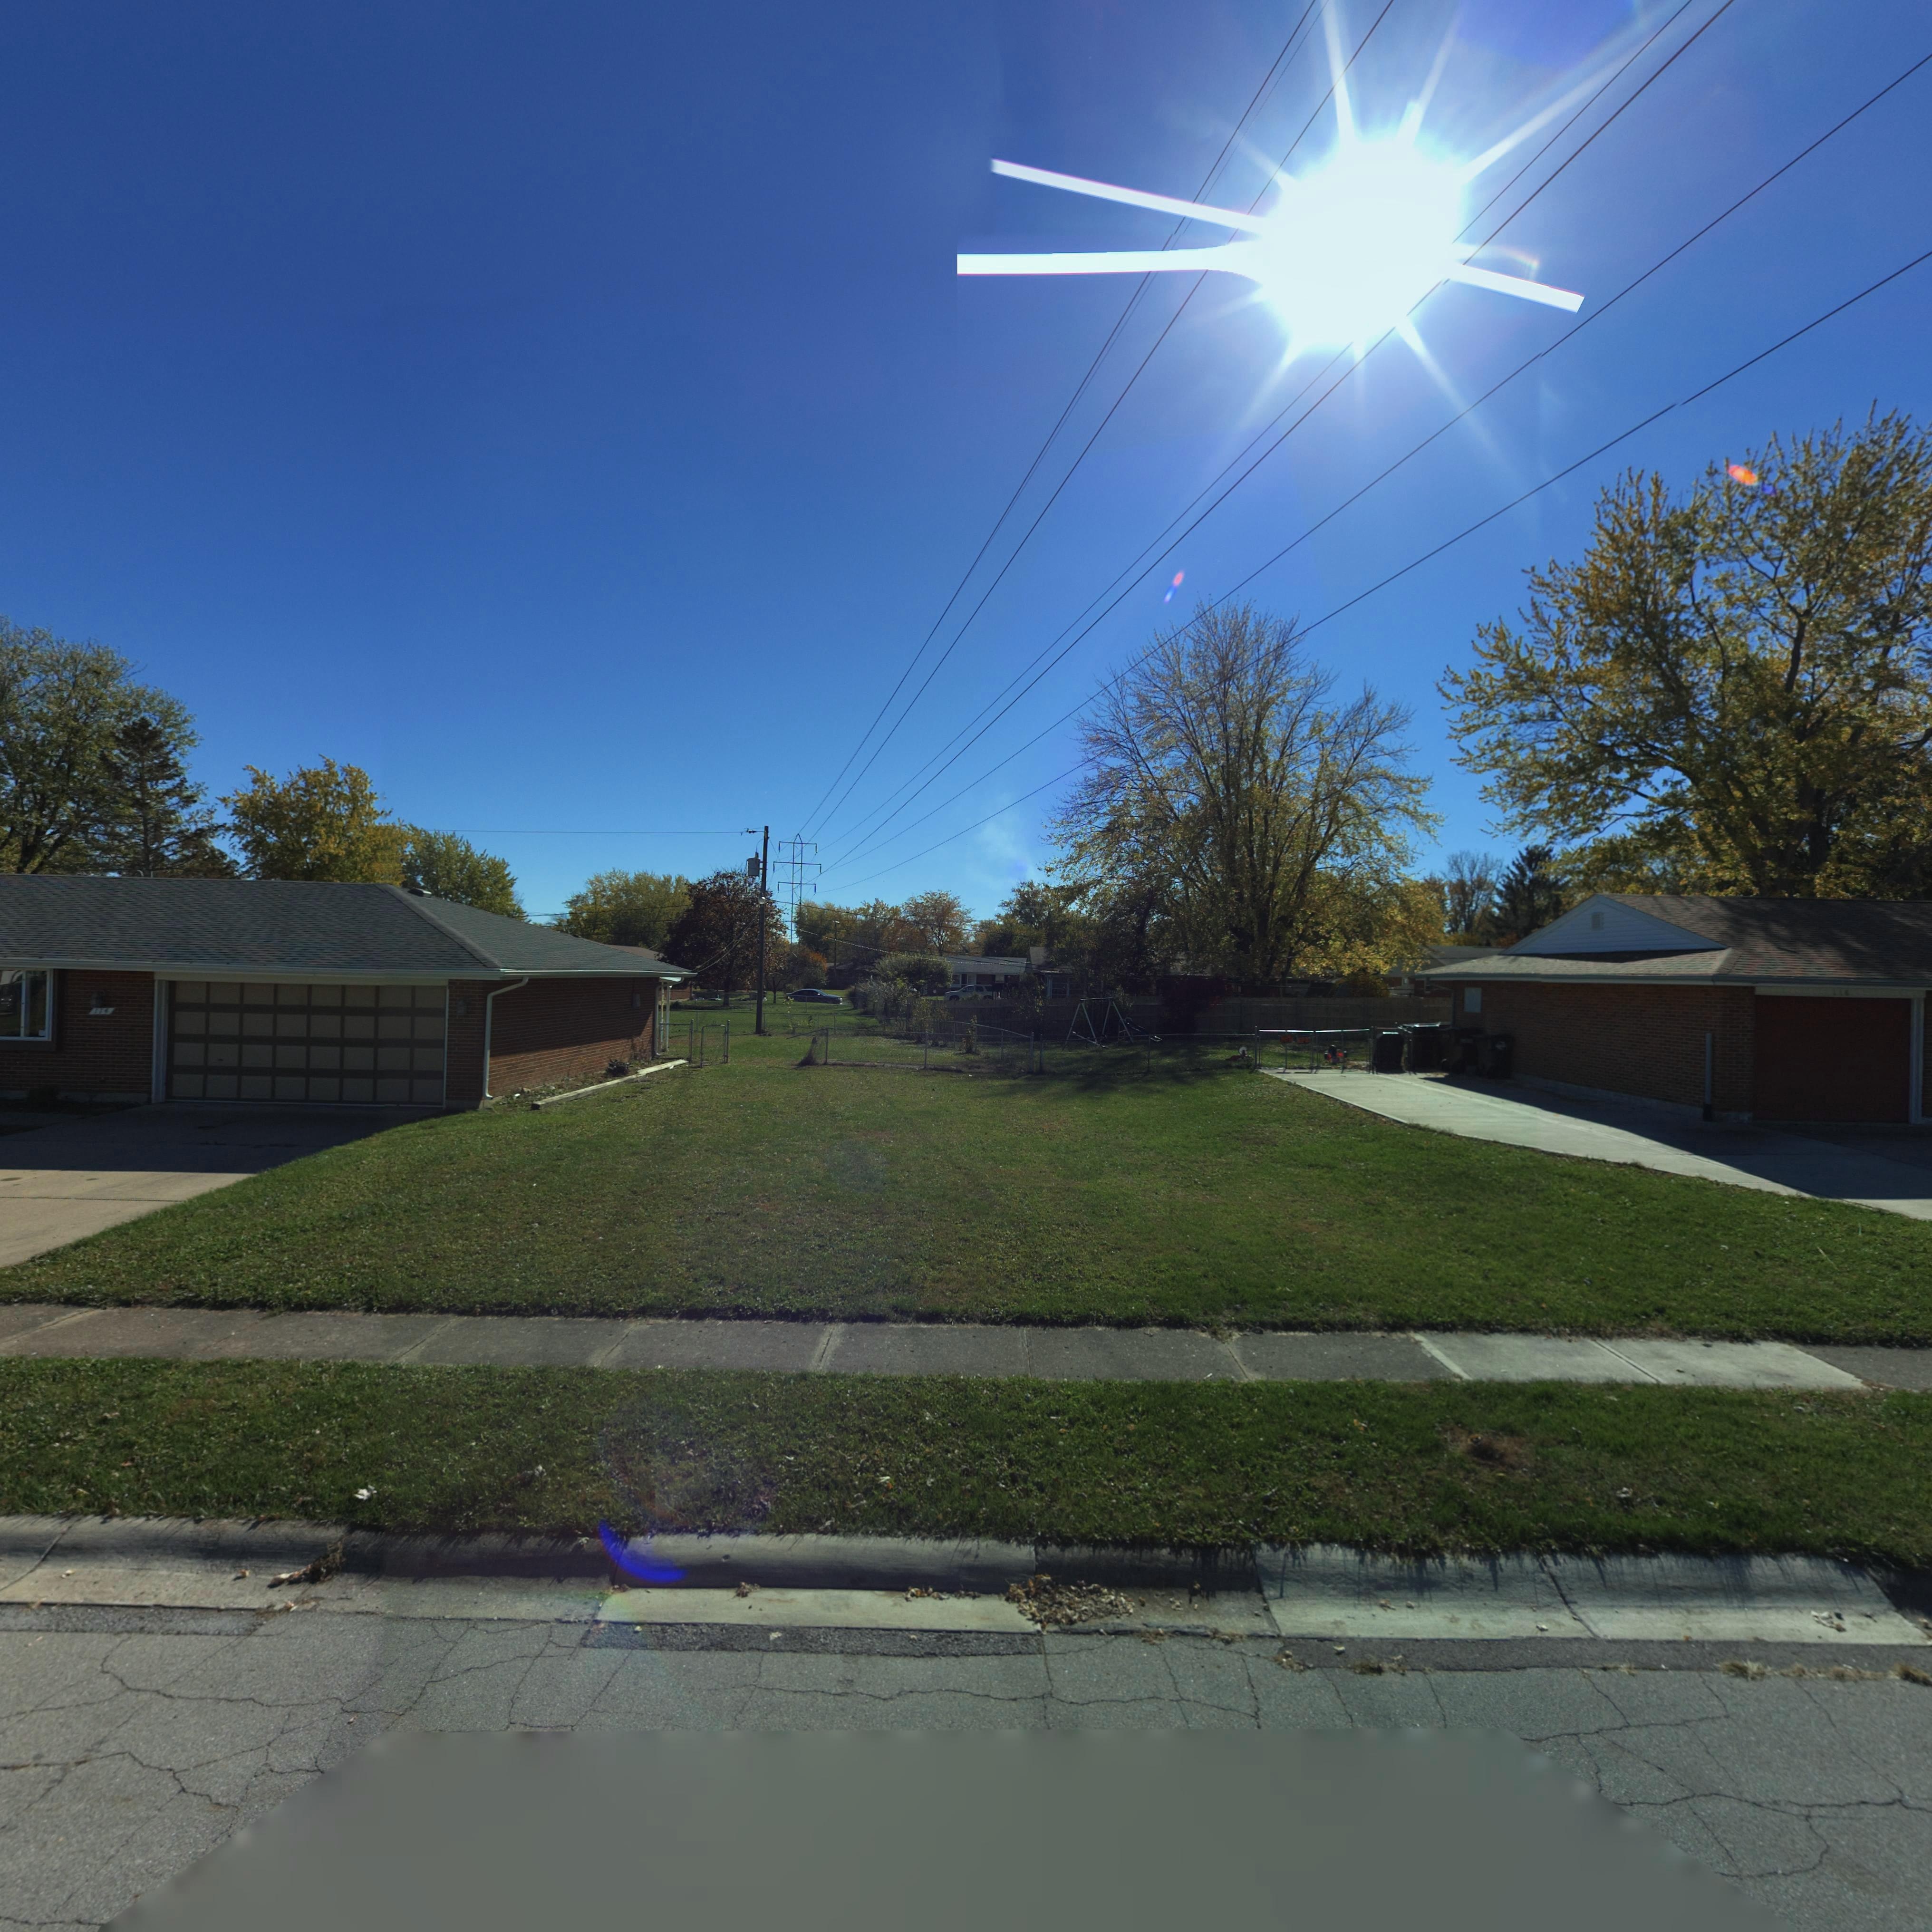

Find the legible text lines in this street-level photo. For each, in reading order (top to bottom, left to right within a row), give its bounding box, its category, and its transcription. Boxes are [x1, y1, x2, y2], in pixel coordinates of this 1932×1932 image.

[92, 1007, 110, 1015] StreetNumber: 114